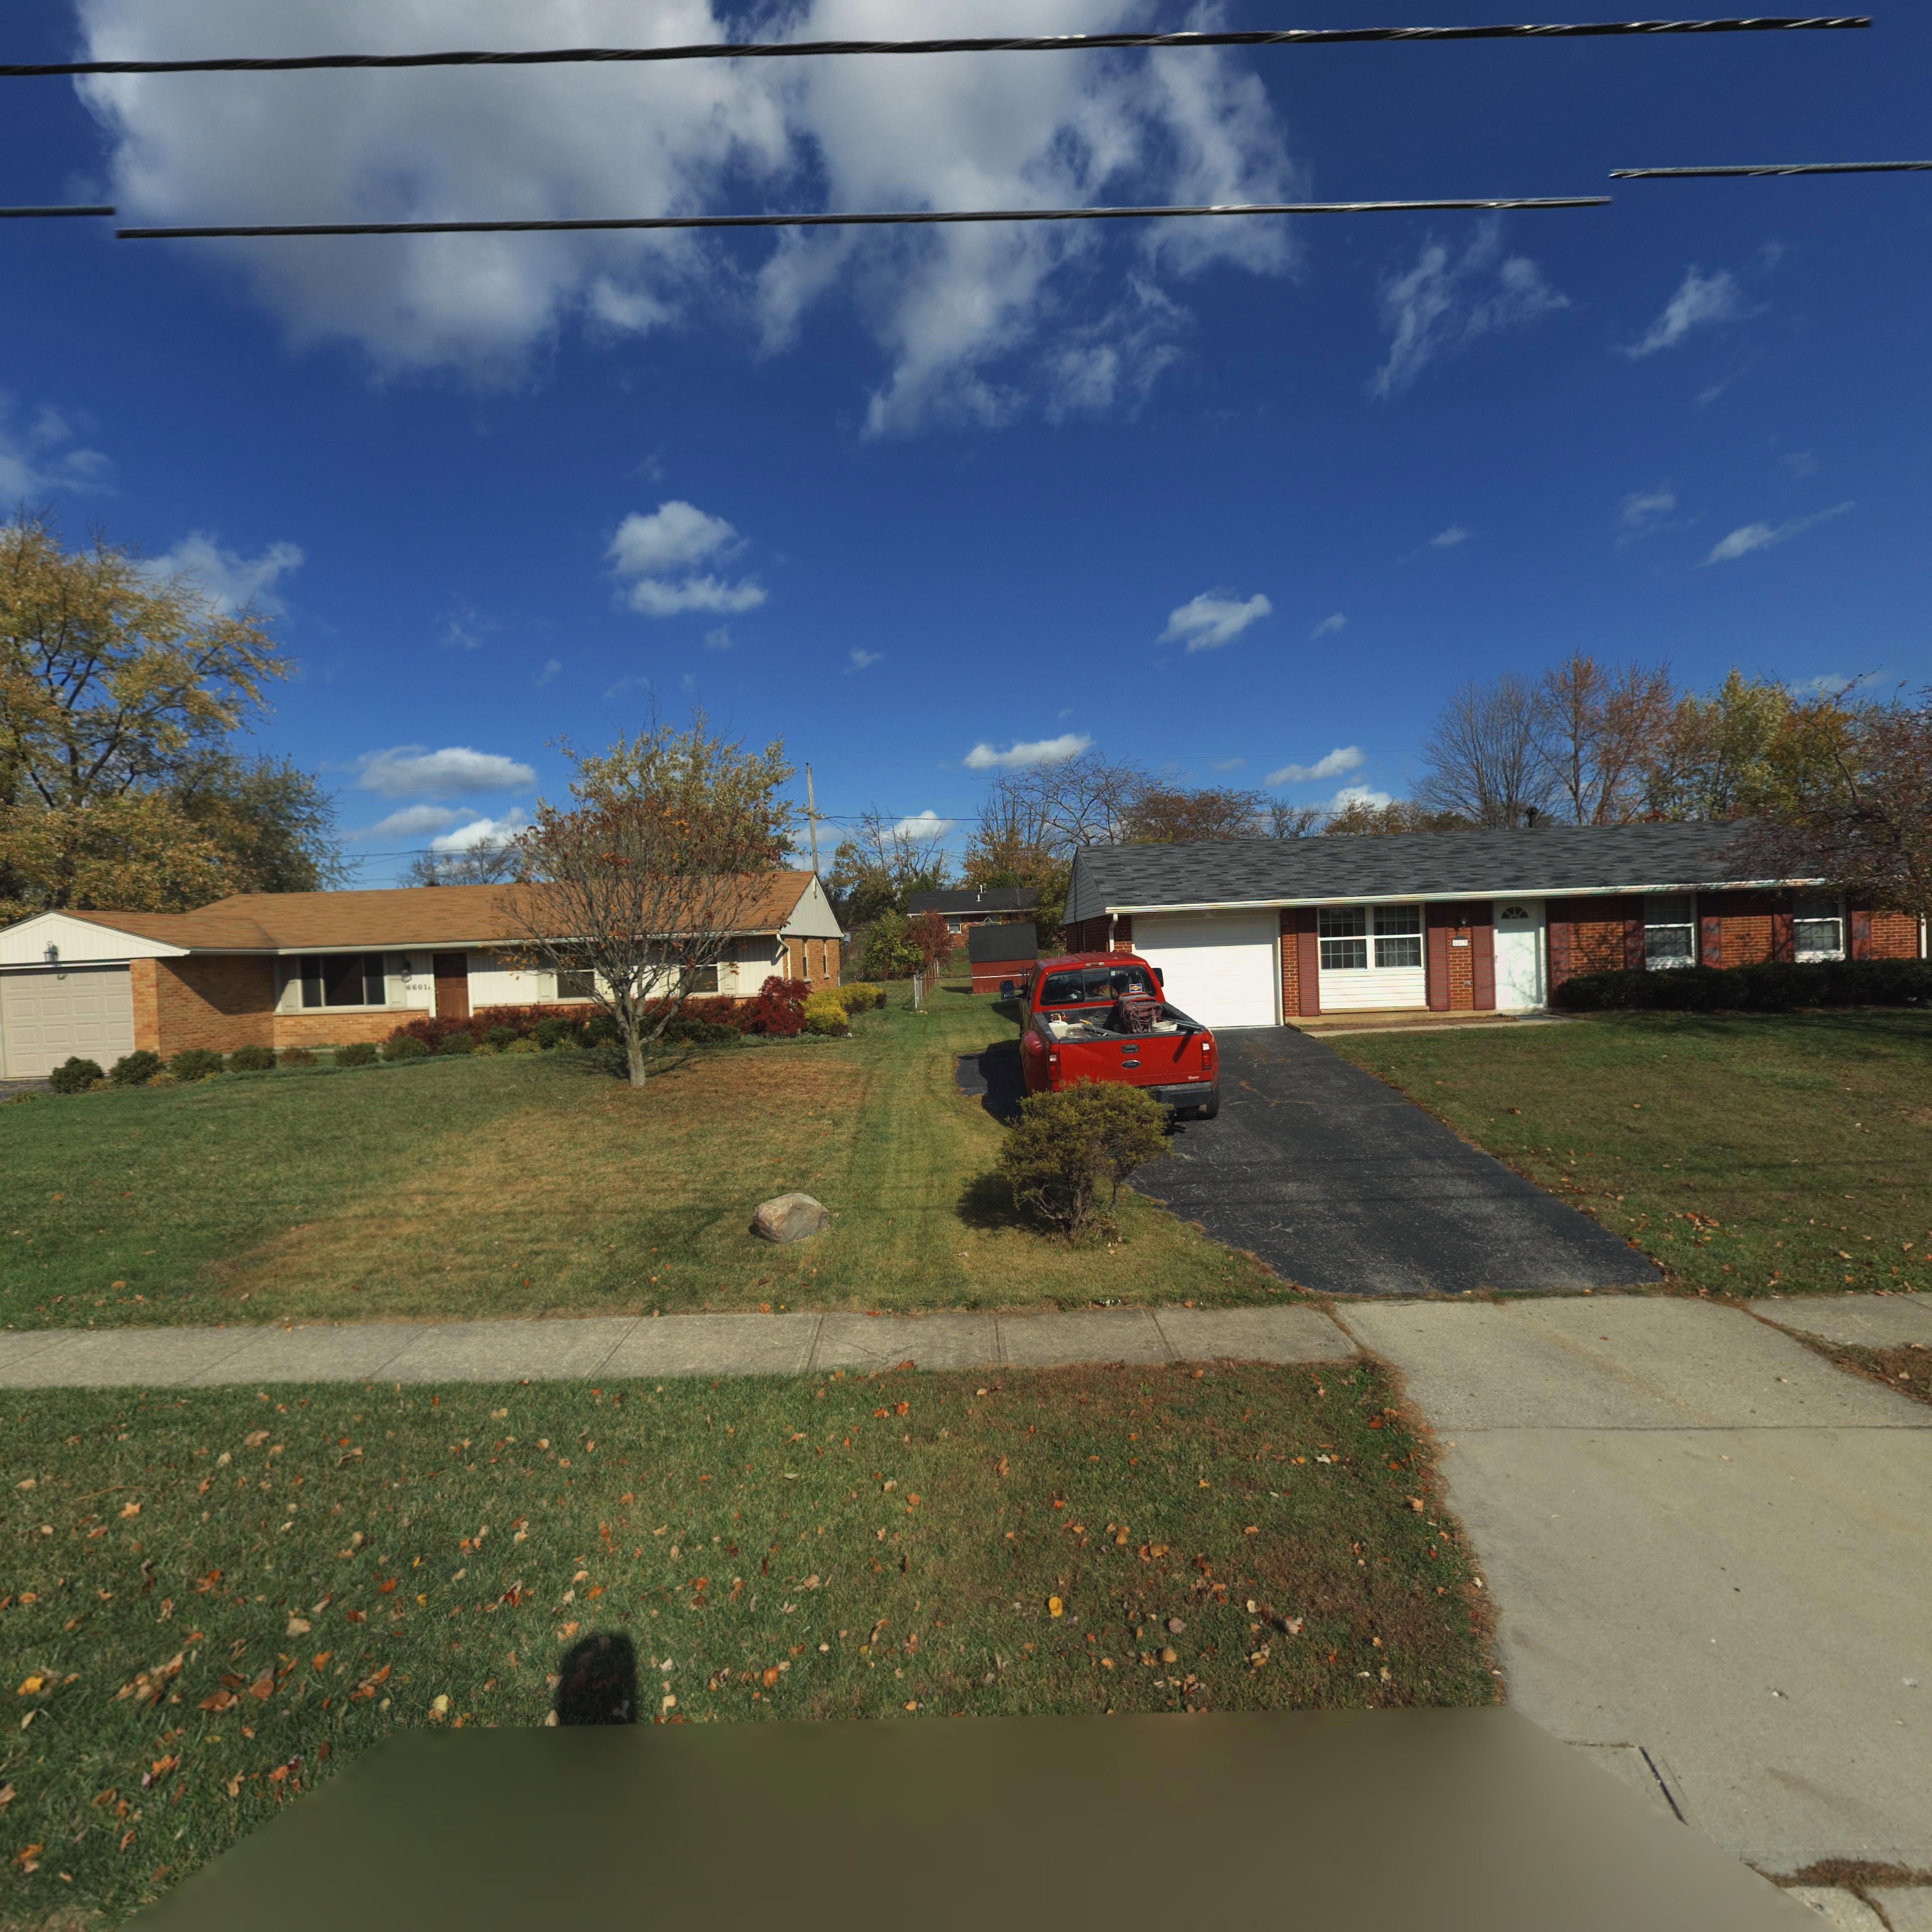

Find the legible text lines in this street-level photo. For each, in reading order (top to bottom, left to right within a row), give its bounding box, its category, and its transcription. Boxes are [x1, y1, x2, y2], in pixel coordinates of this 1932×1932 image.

[406, 983, 427, 991] StreetNumber: 6601